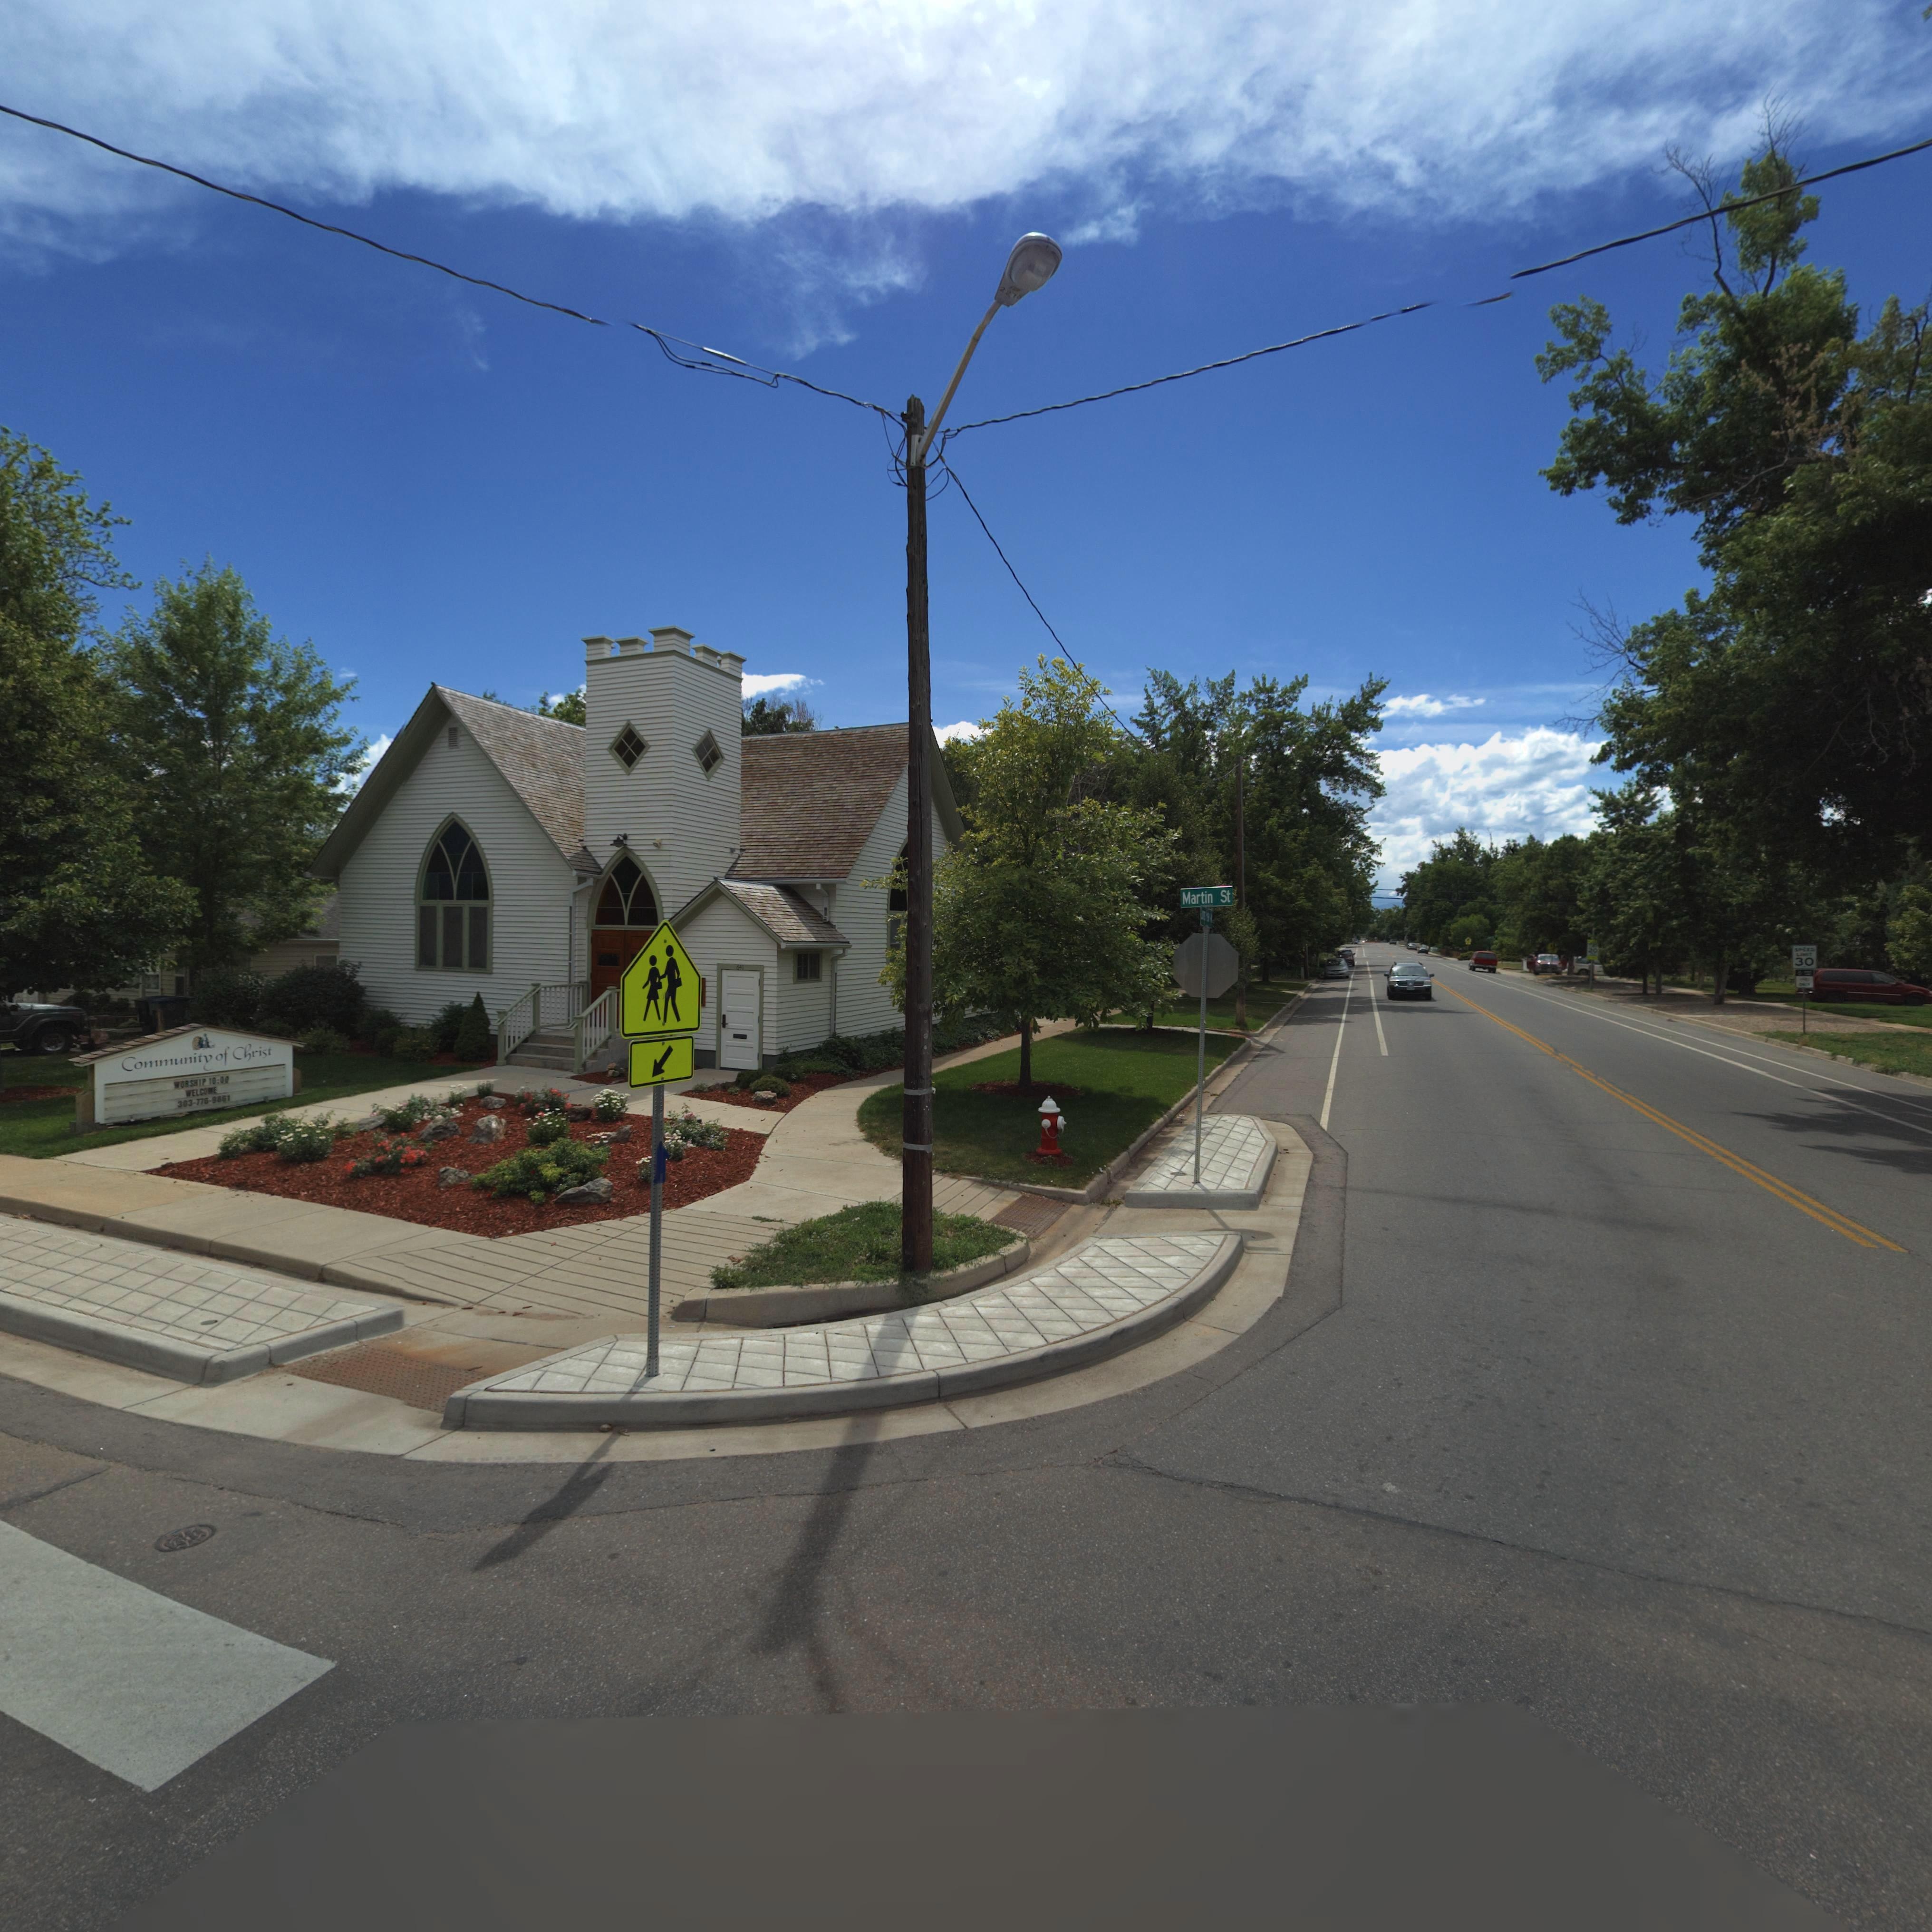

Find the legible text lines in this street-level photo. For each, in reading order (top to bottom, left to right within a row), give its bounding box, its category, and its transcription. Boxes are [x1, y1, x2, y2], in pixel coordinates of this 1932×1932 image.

[1182, 890, 1230, 904] StreetName: Martin St
[120, 1043, 272, 1072] BusinessName: Community of Christ